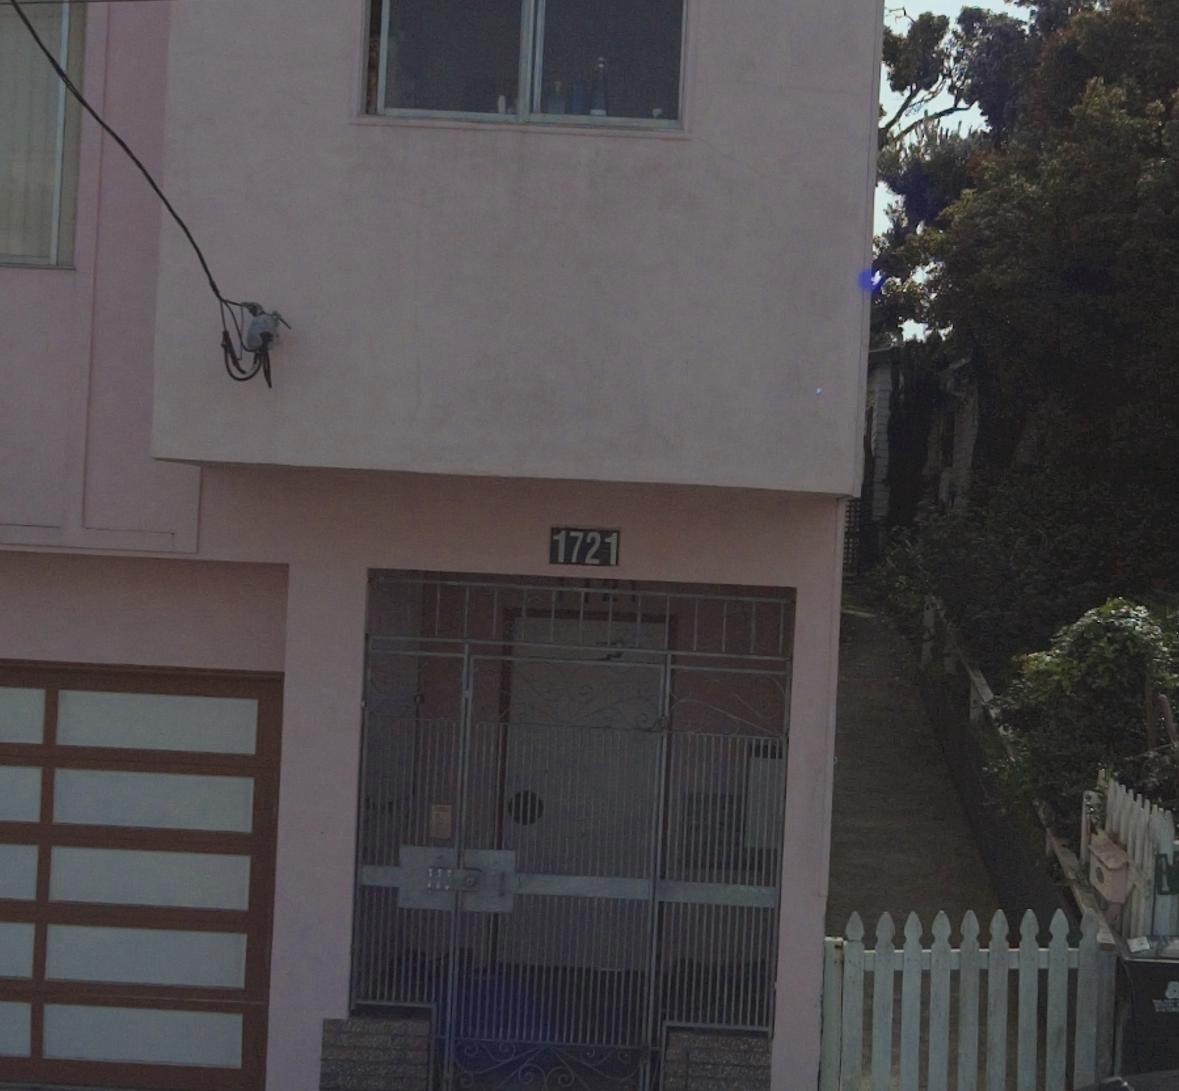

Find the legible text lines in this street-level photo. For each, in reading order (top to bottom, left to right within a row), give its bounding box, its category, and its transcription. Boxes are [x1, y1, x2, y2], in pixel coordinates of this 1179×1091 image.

[551, 528, 619, 567] StreetNumber: 1721